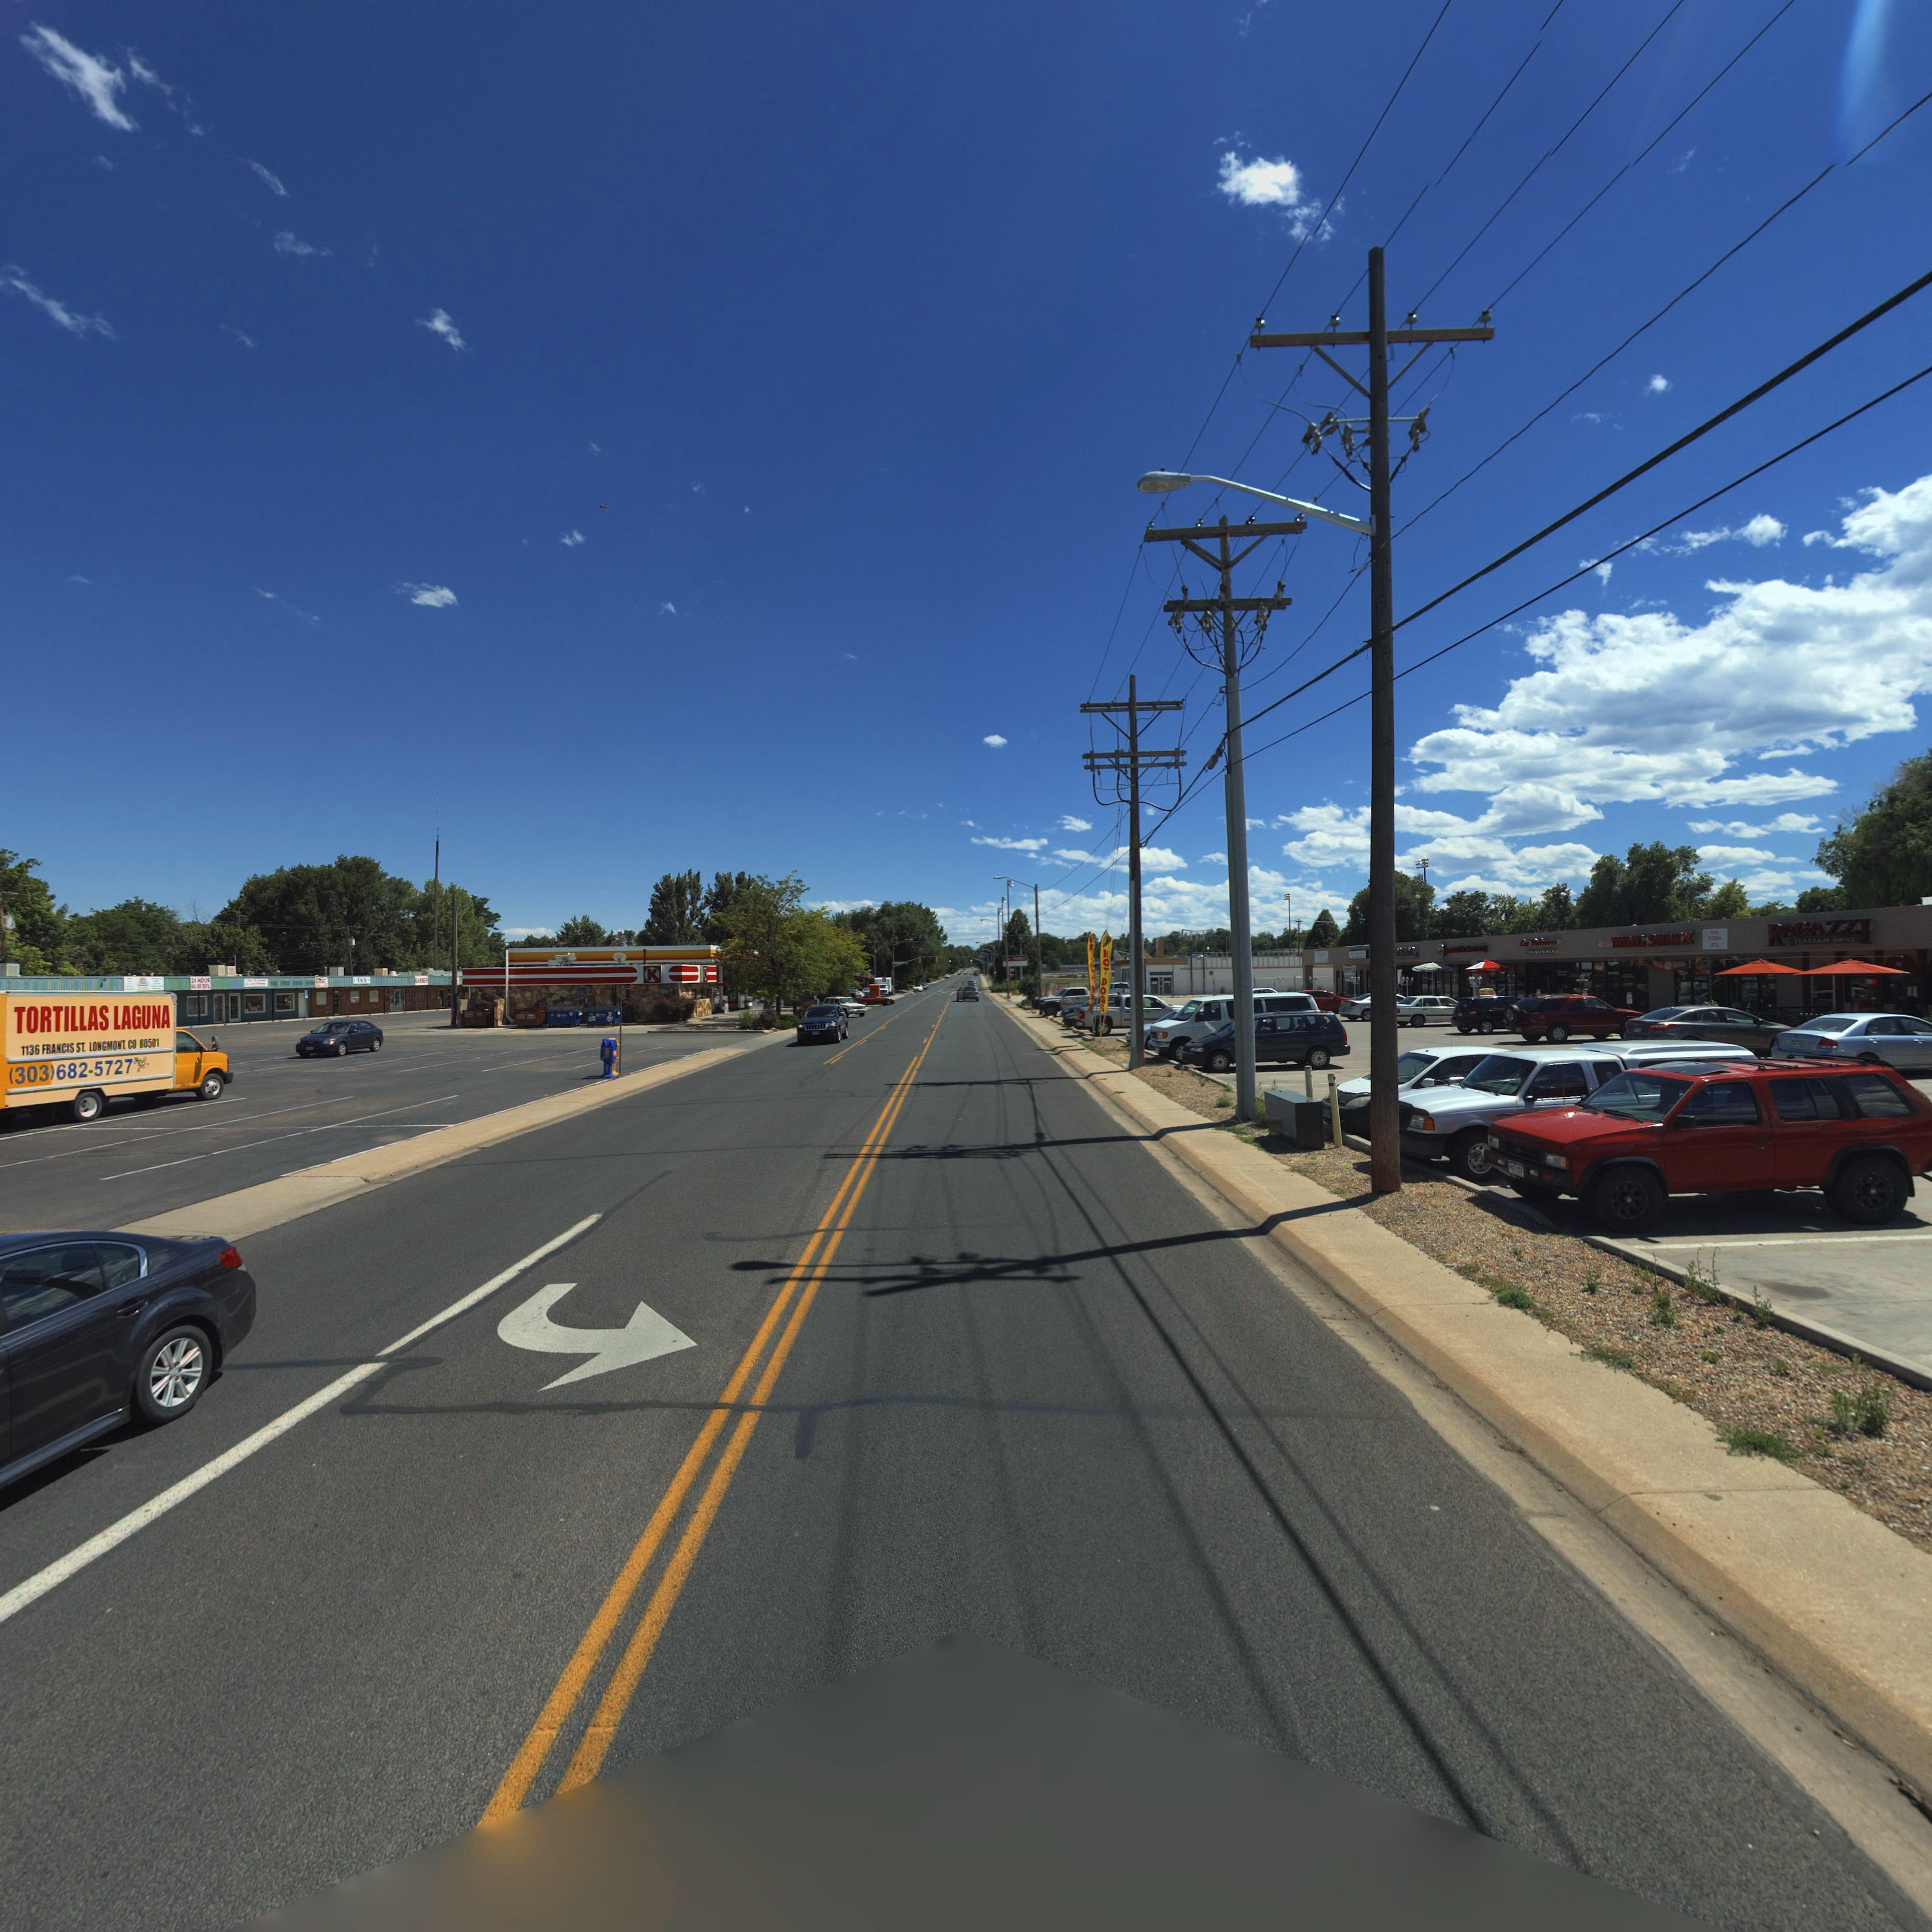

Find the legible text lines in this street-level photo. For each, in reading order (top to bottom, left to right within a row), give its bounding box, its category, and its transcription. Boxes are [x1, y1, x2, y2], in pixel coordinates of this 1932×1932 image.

[1517, 937, 1558, 947] BusinessName: Las Palmeras
[1609, 931, 1694, 949] BusinessName: WING SHACK
[1765, 917, 1873, 947] BusinessName: RAGAZZI